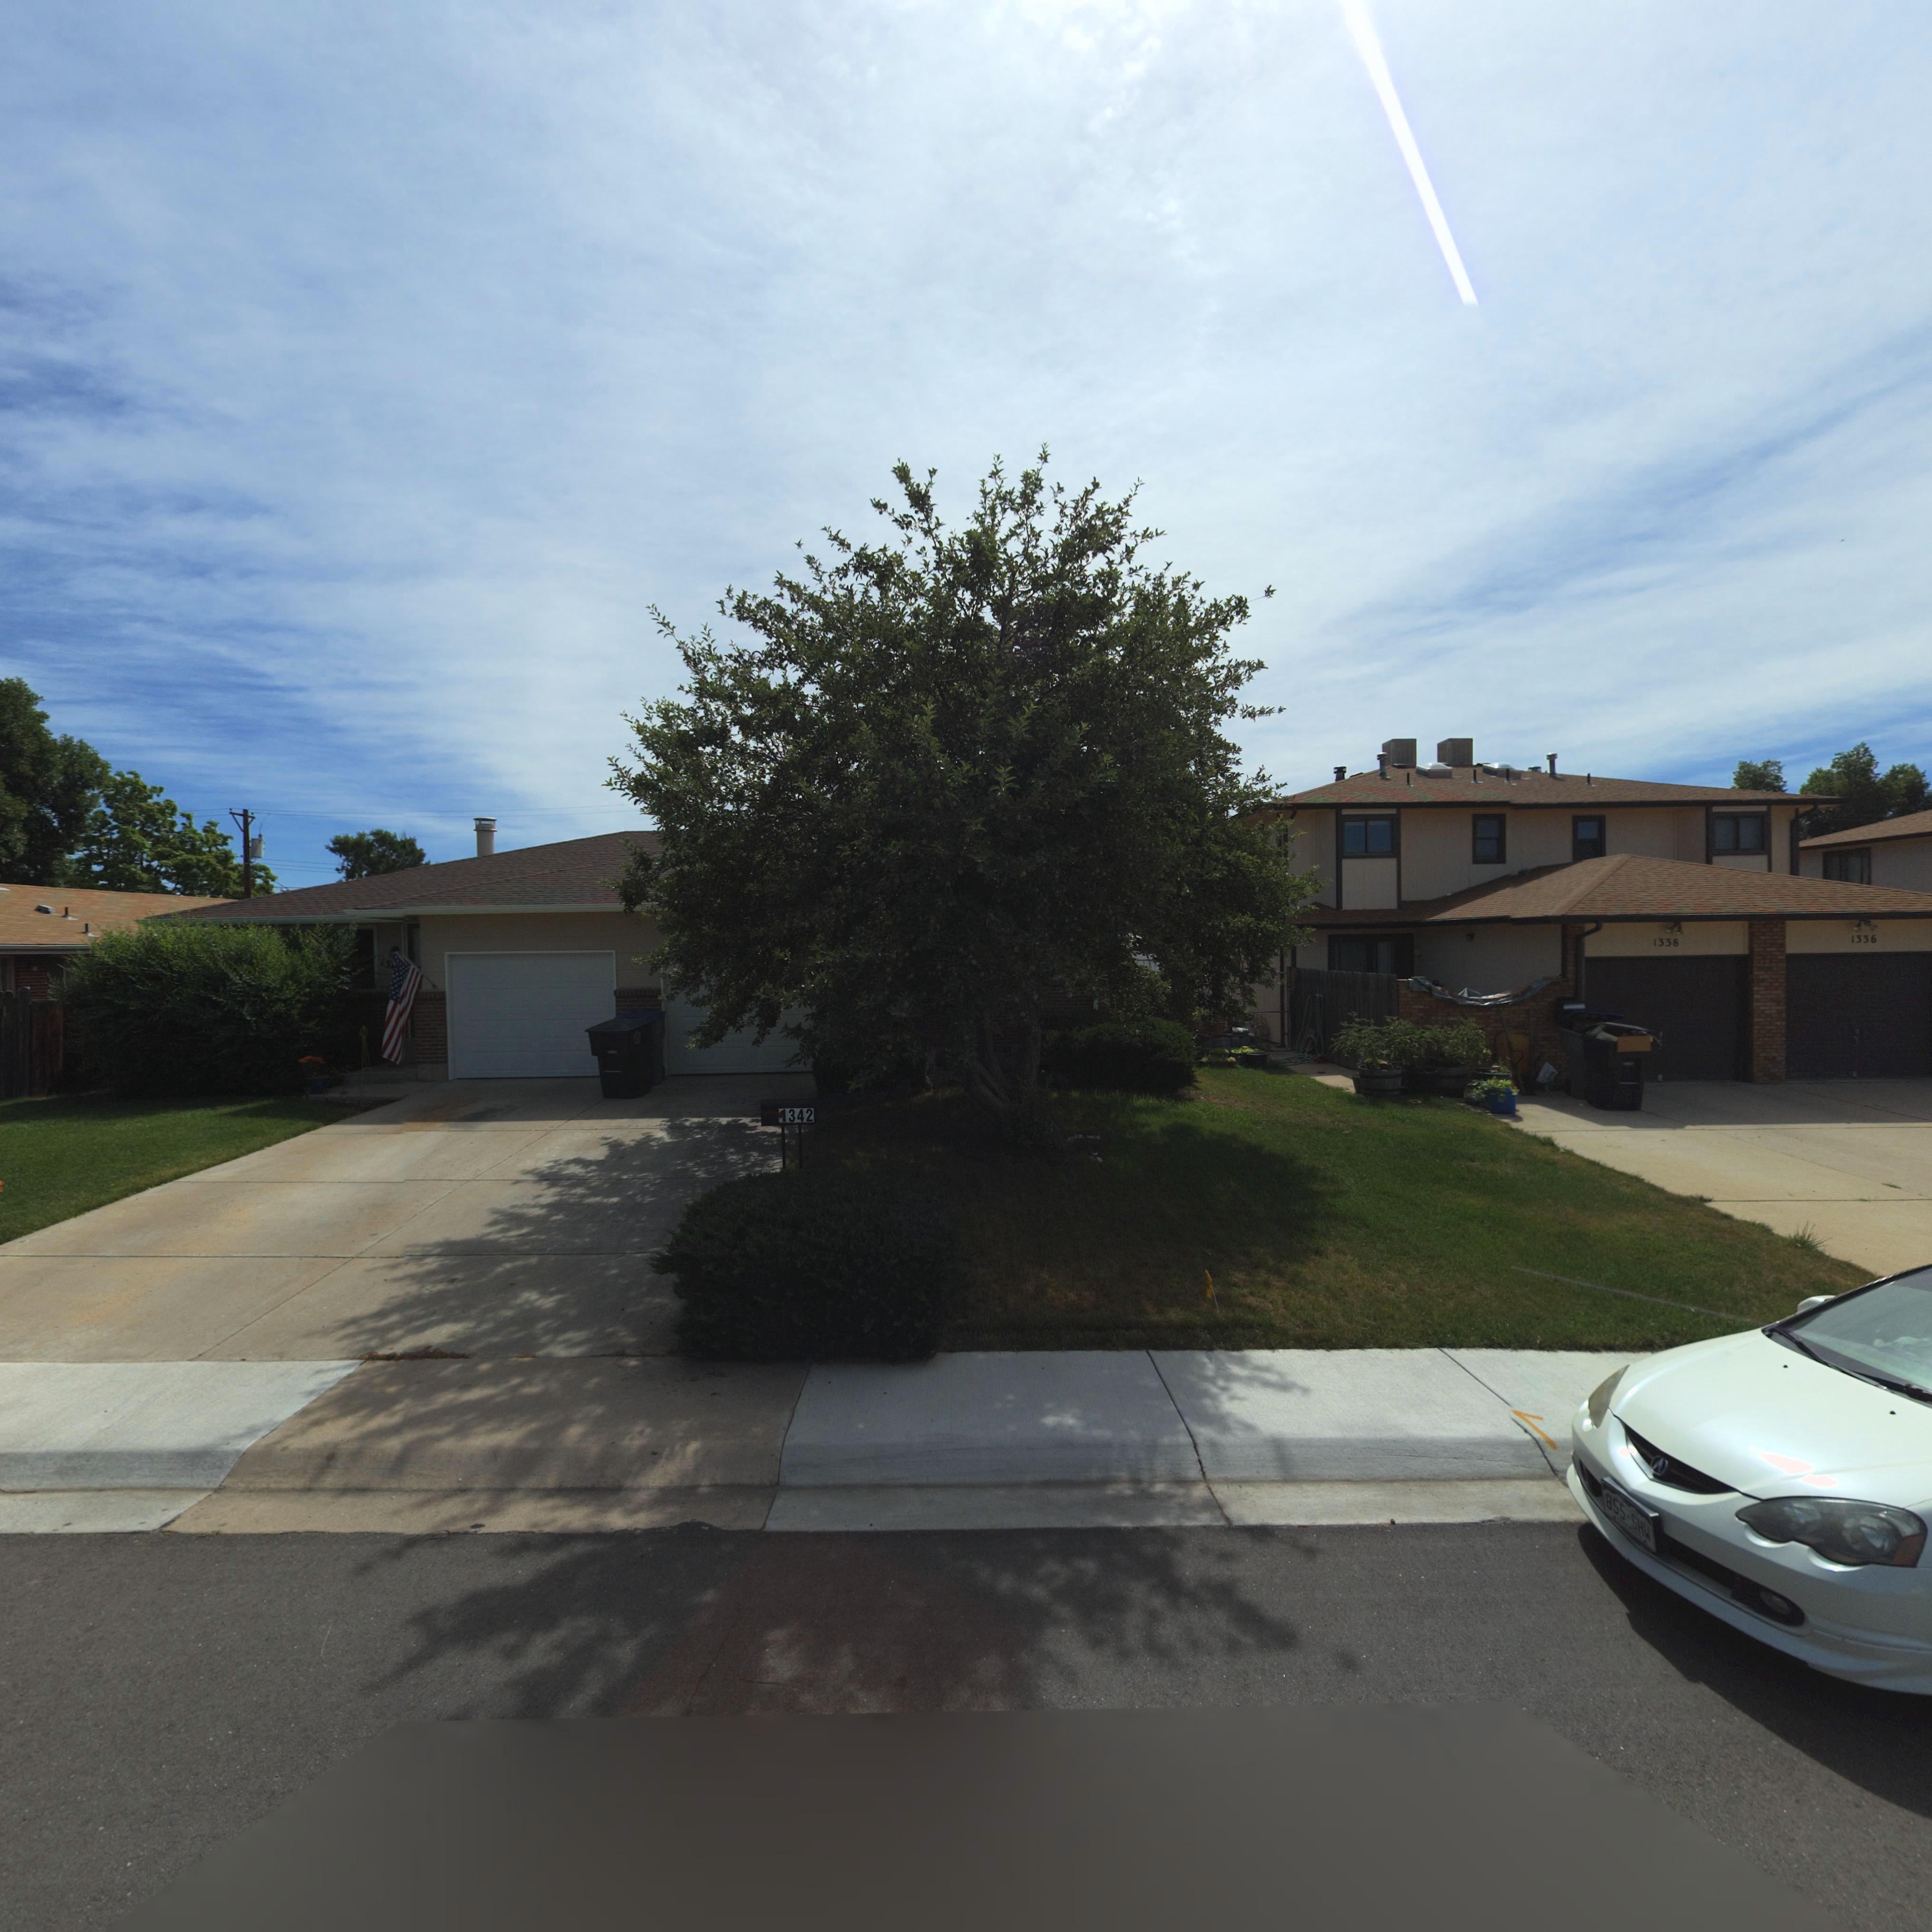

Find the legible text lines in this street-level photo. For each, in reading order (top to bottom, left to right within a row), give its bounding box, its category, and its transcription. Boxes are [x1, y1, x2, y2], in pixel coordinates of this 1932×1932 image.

[1652, 937, 1679, 947] StreetNumber: 1338
[1850, 934, 1878, 944] StreetNumber: 1336
[378, 956, 400, 972] StreetNumber: 13**
[779, 1108, 814, 1122] StreetNumber: 1342